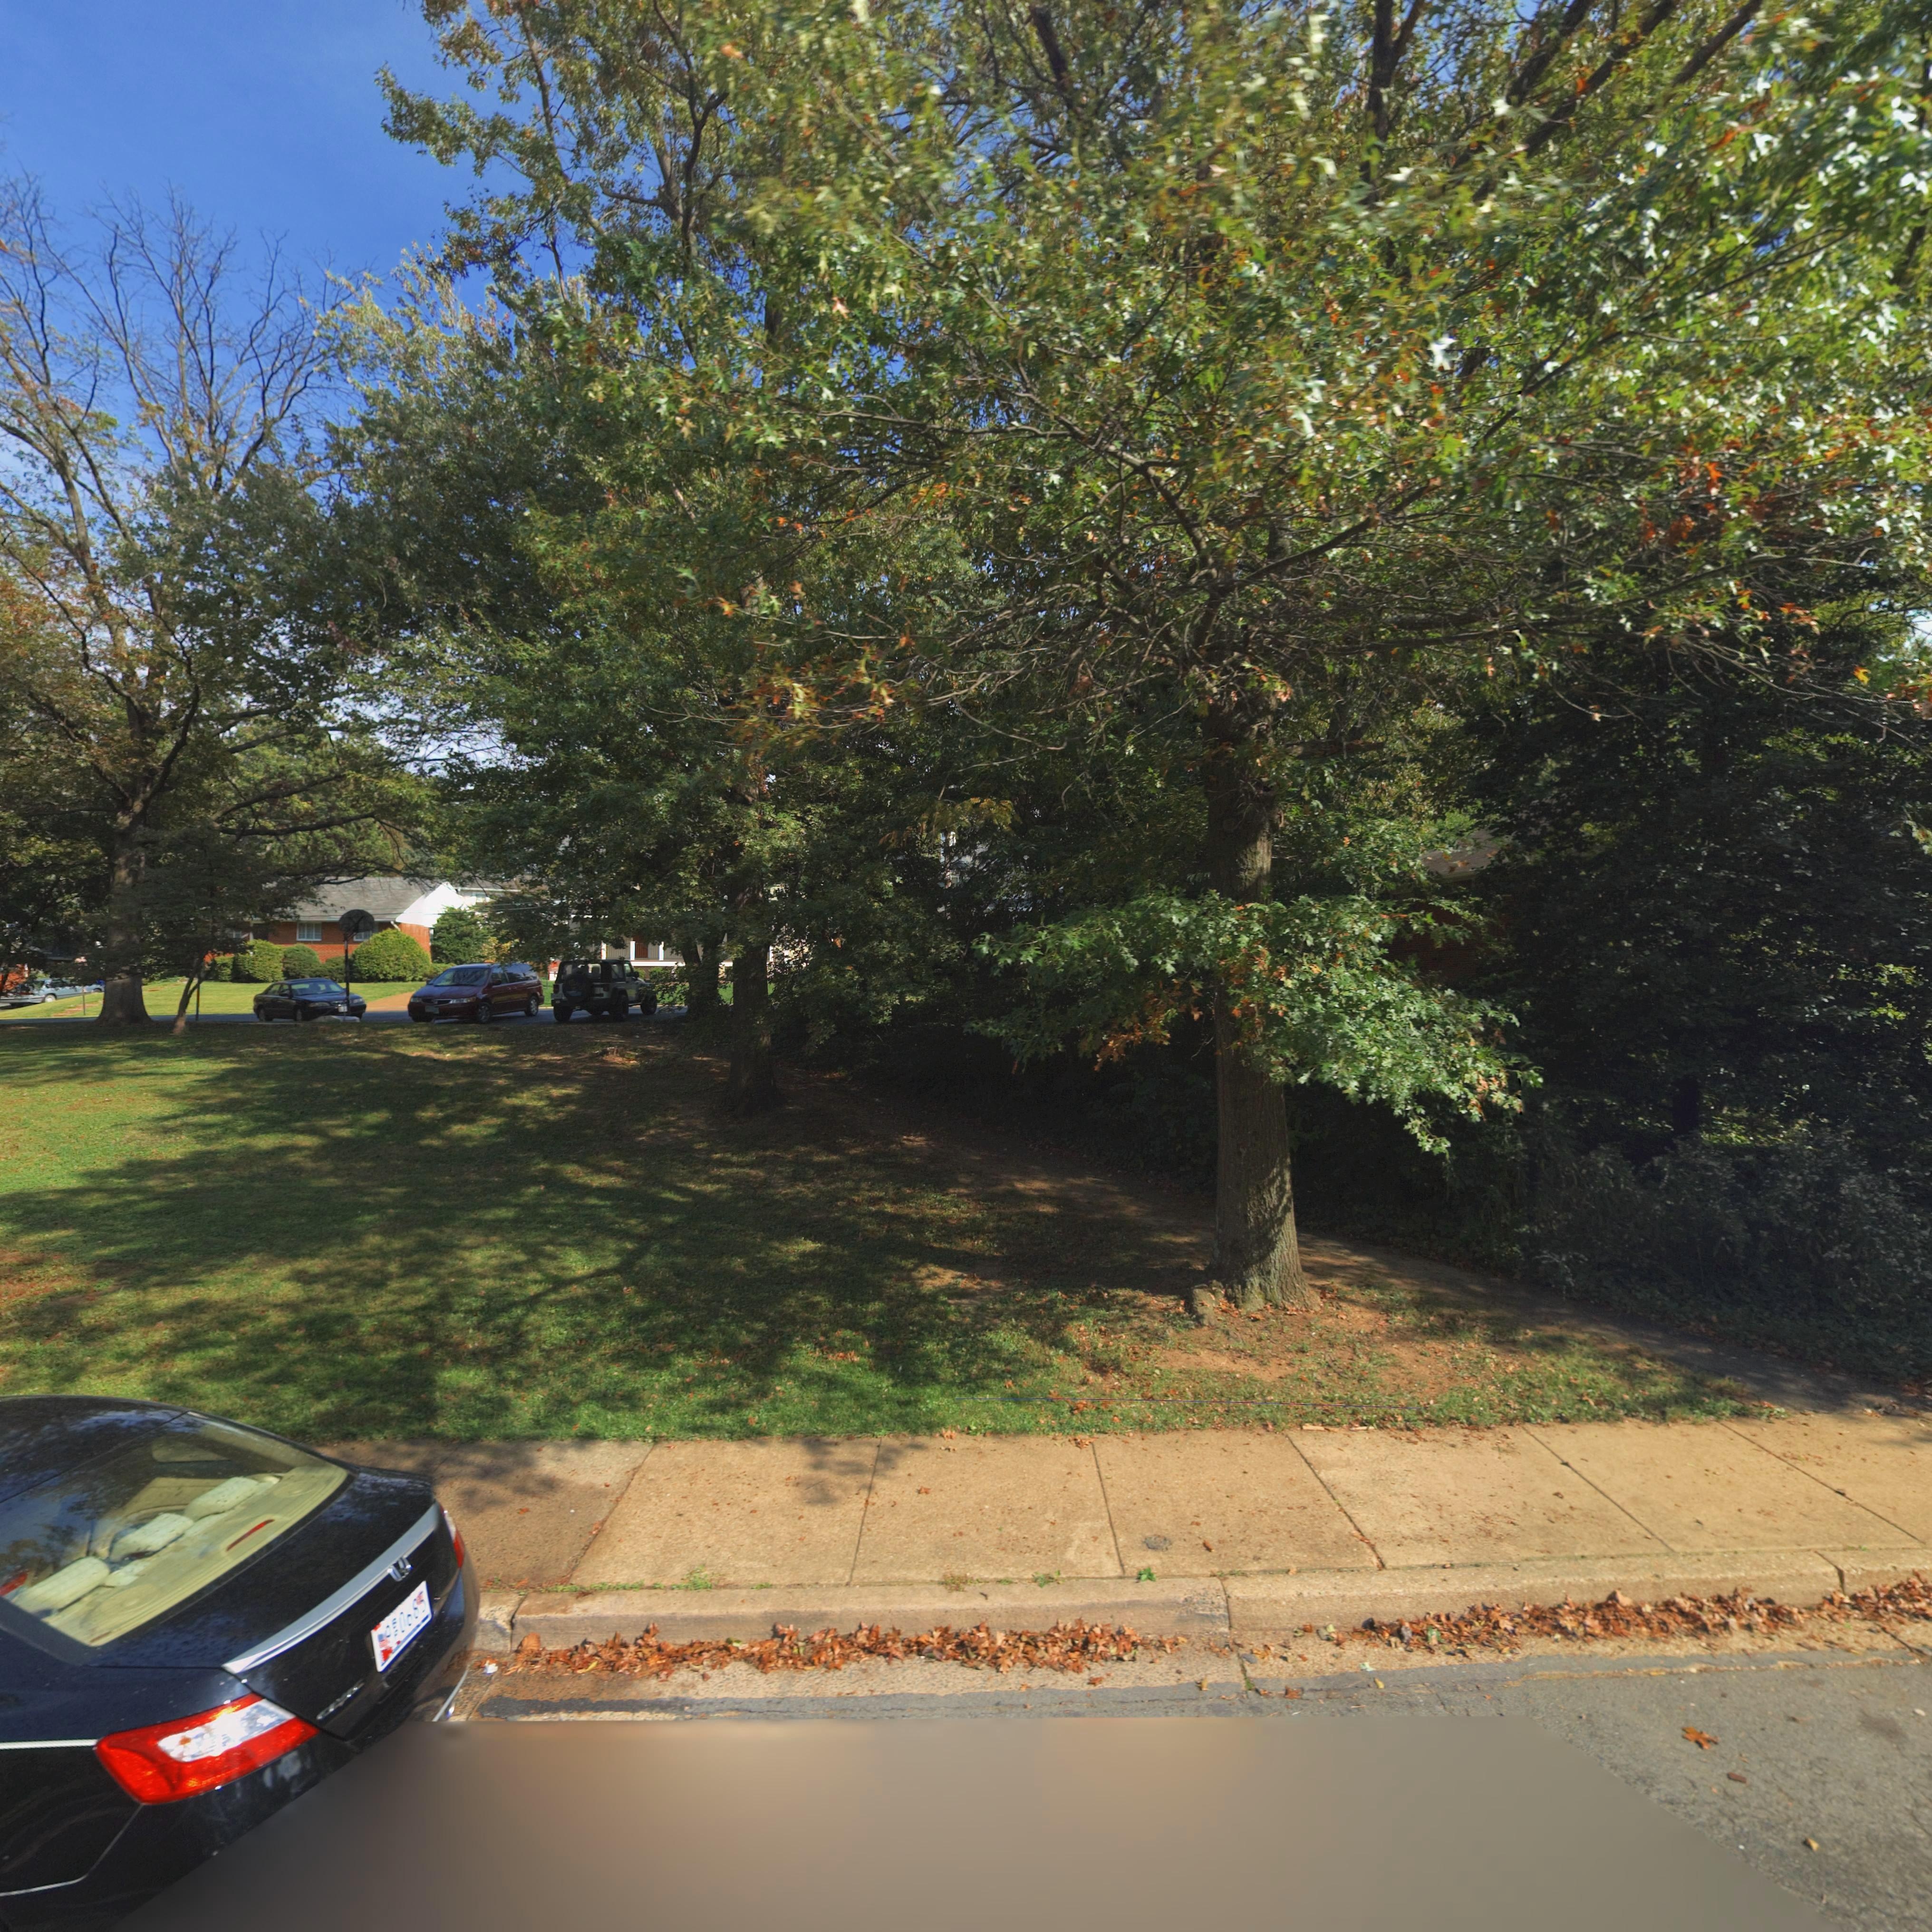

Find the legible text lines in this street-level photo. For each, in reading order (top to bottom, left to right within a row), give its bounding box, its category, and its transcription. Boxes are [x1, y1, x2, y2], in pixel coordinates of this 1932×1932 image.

[389, 1613, 402, 1643] None: EF
[396, 1588, 428, 1636] None: 0685
[313, 1674, 367, 1723] None: CIVIC